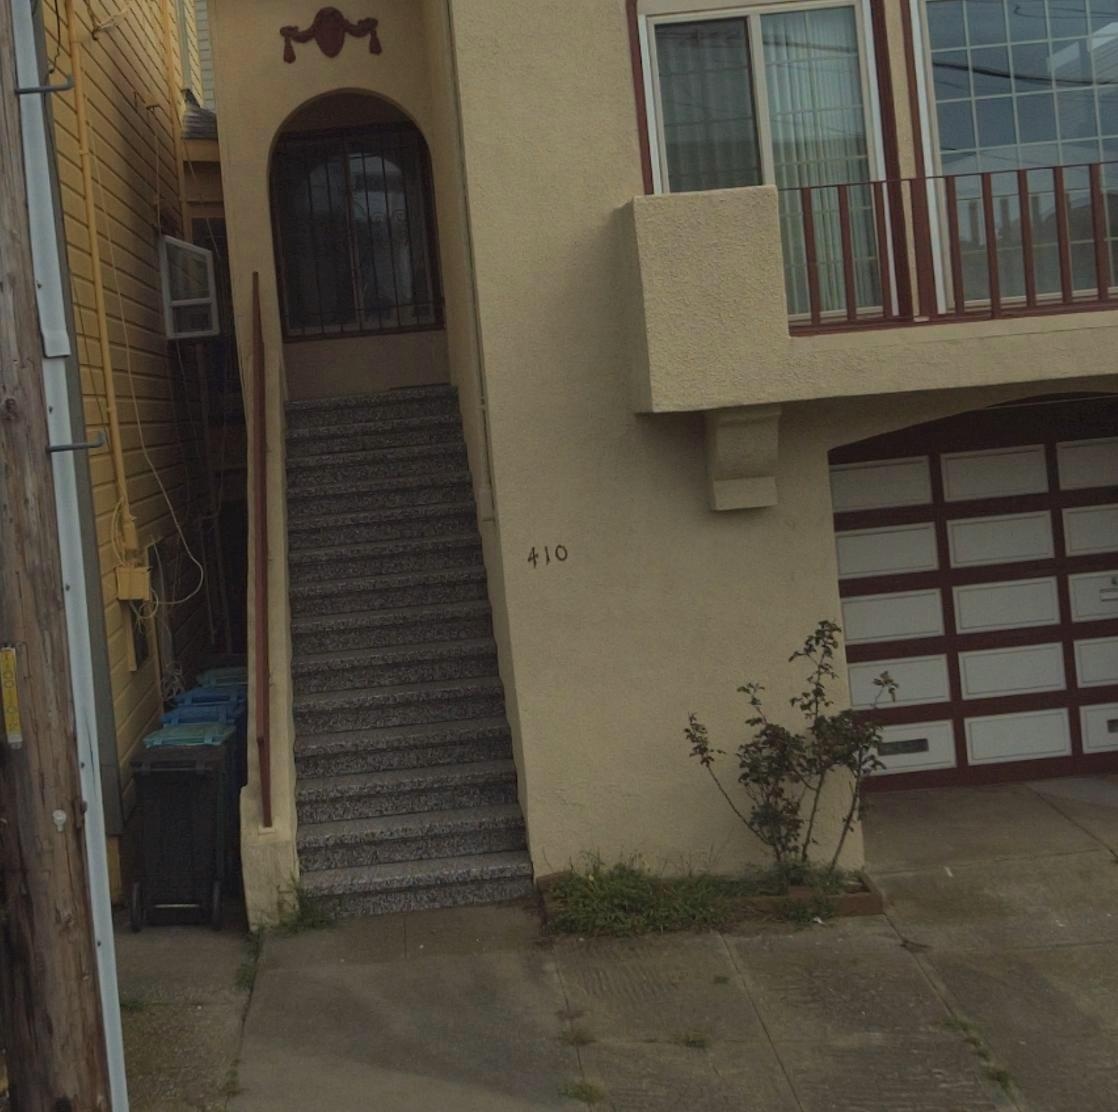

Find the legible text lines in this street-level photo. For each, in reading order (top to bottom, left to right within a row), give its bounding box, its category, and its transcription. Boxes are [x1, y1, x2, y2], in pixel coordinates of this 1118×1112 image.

[524, 541, 570, 571] StreetNumber: 410